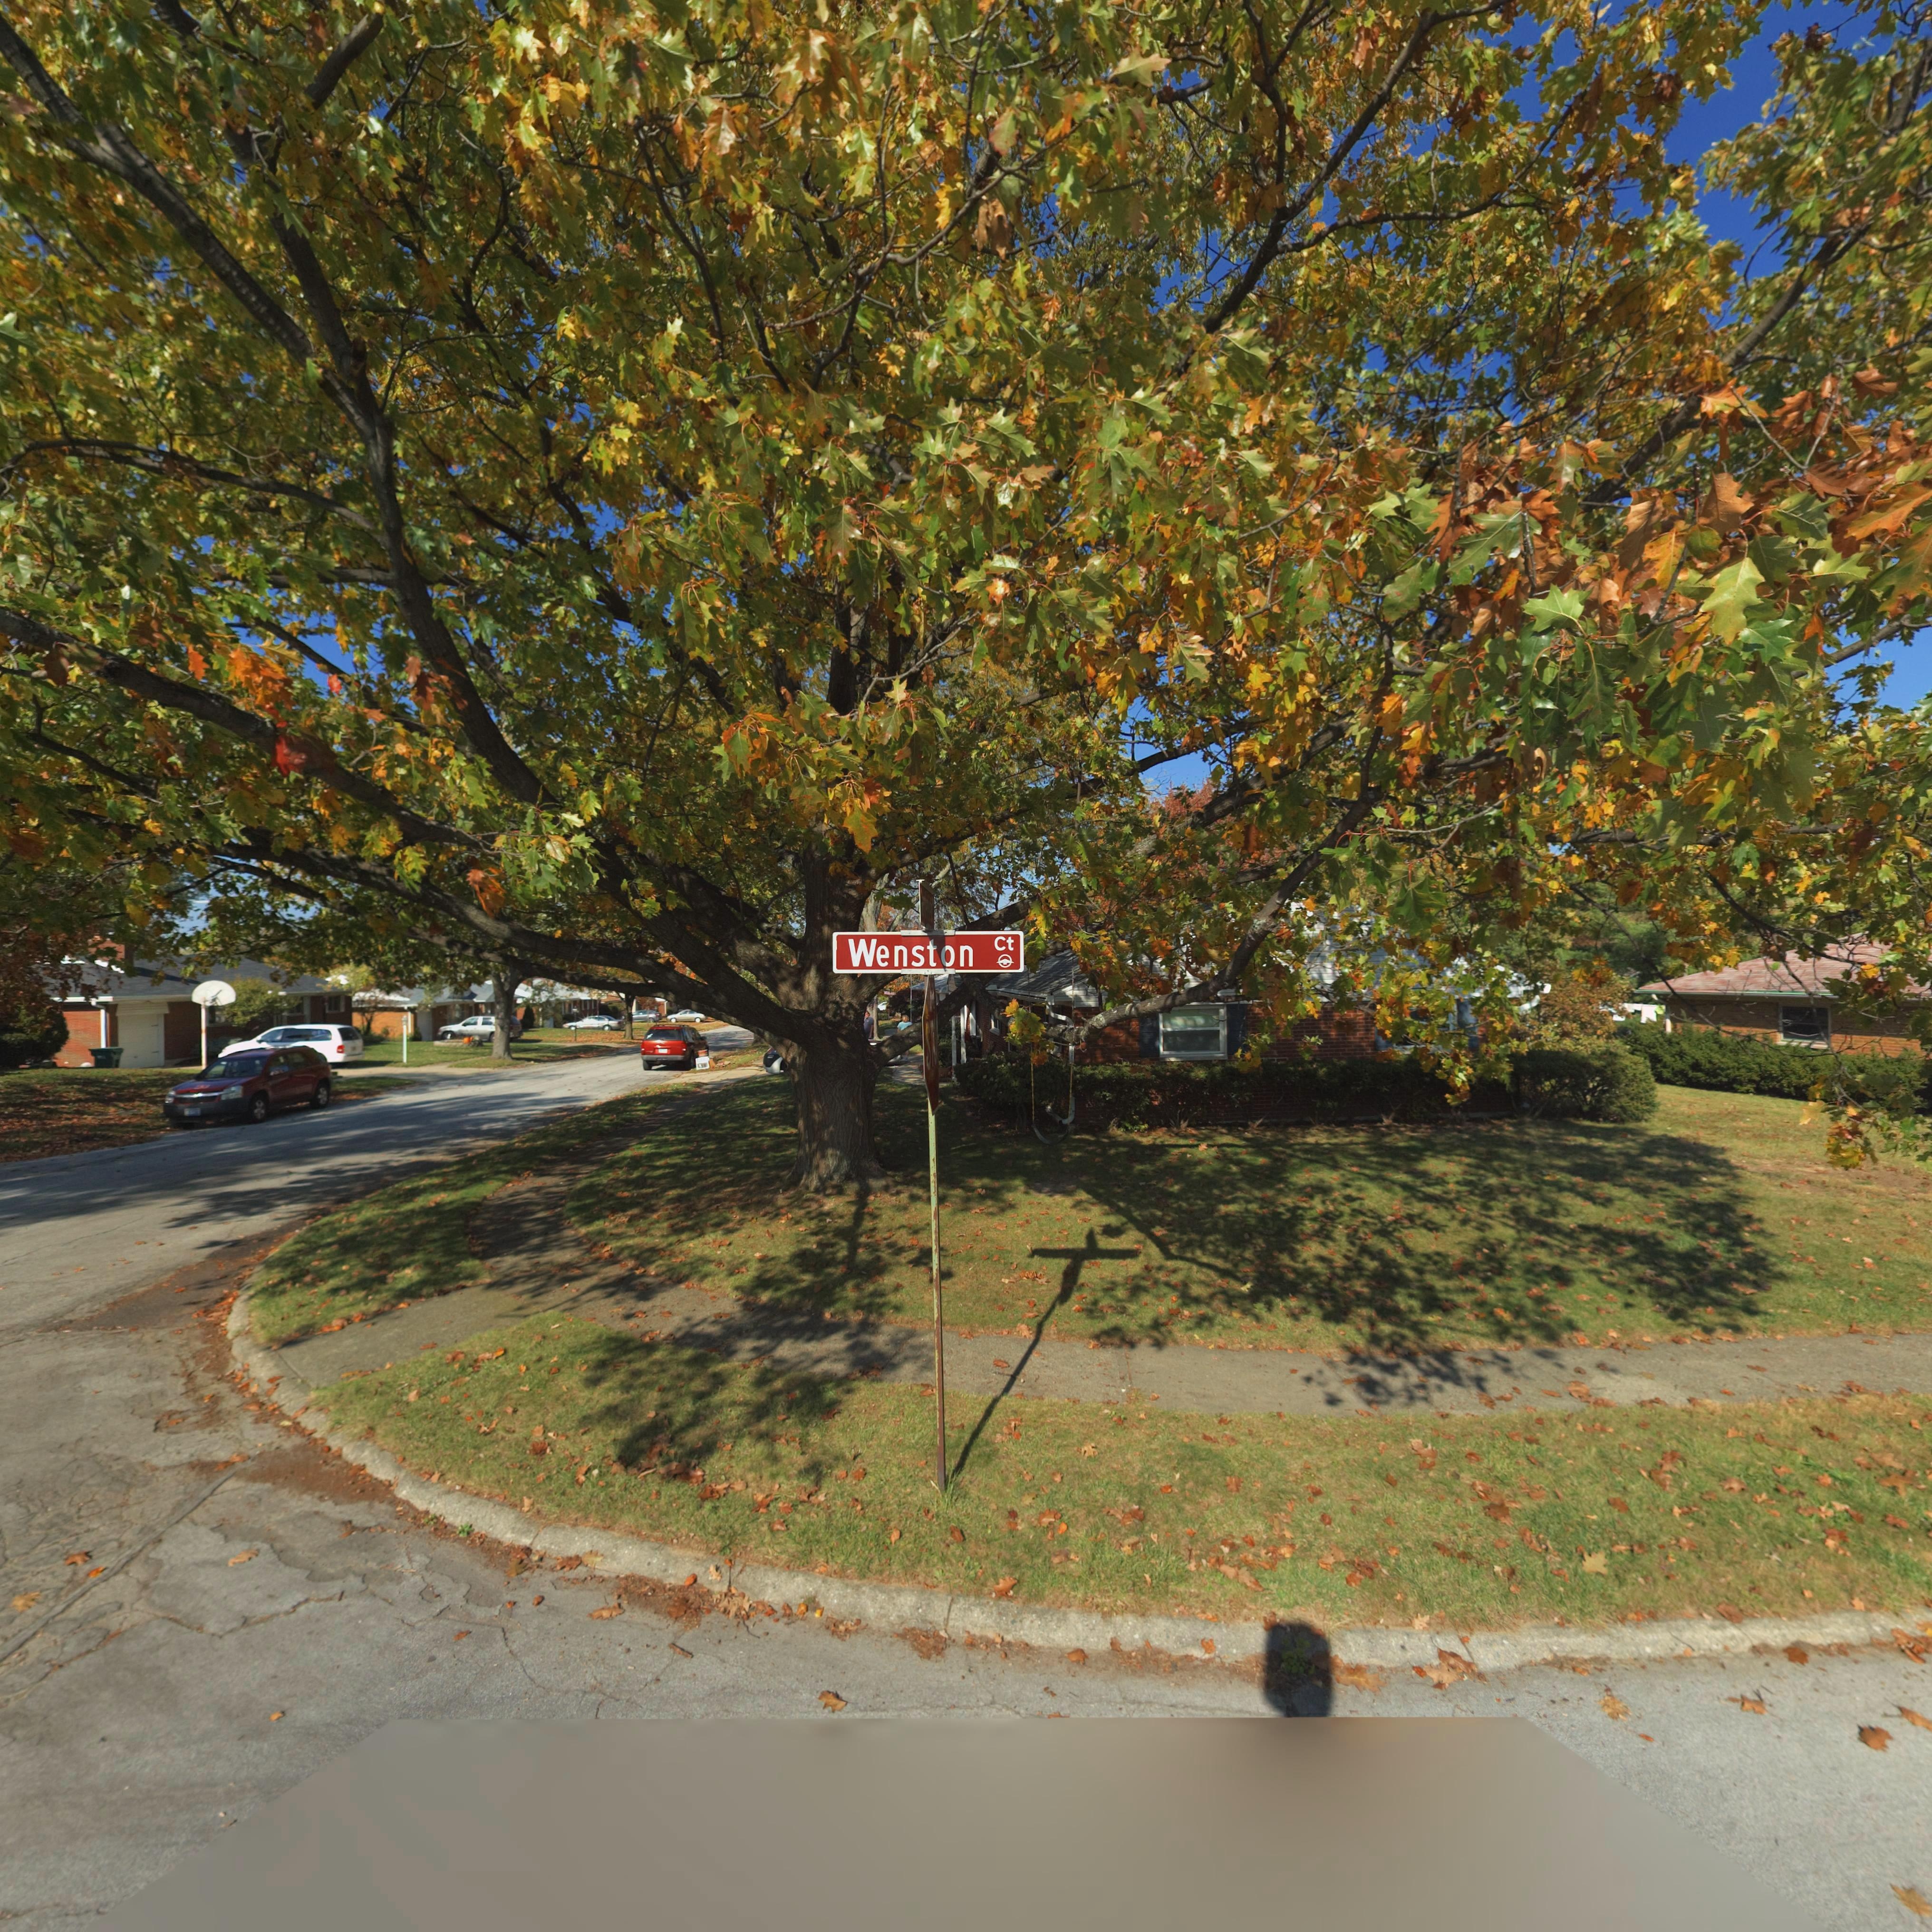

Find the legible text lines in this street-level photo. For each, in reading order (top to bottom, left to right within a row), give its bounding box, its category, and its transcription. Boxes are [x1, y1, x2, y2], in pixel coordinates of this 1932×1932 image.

[845, 934, 1016, 969] StreetName: Wenston Ct
[924, 1020, 932, 1072] None: S